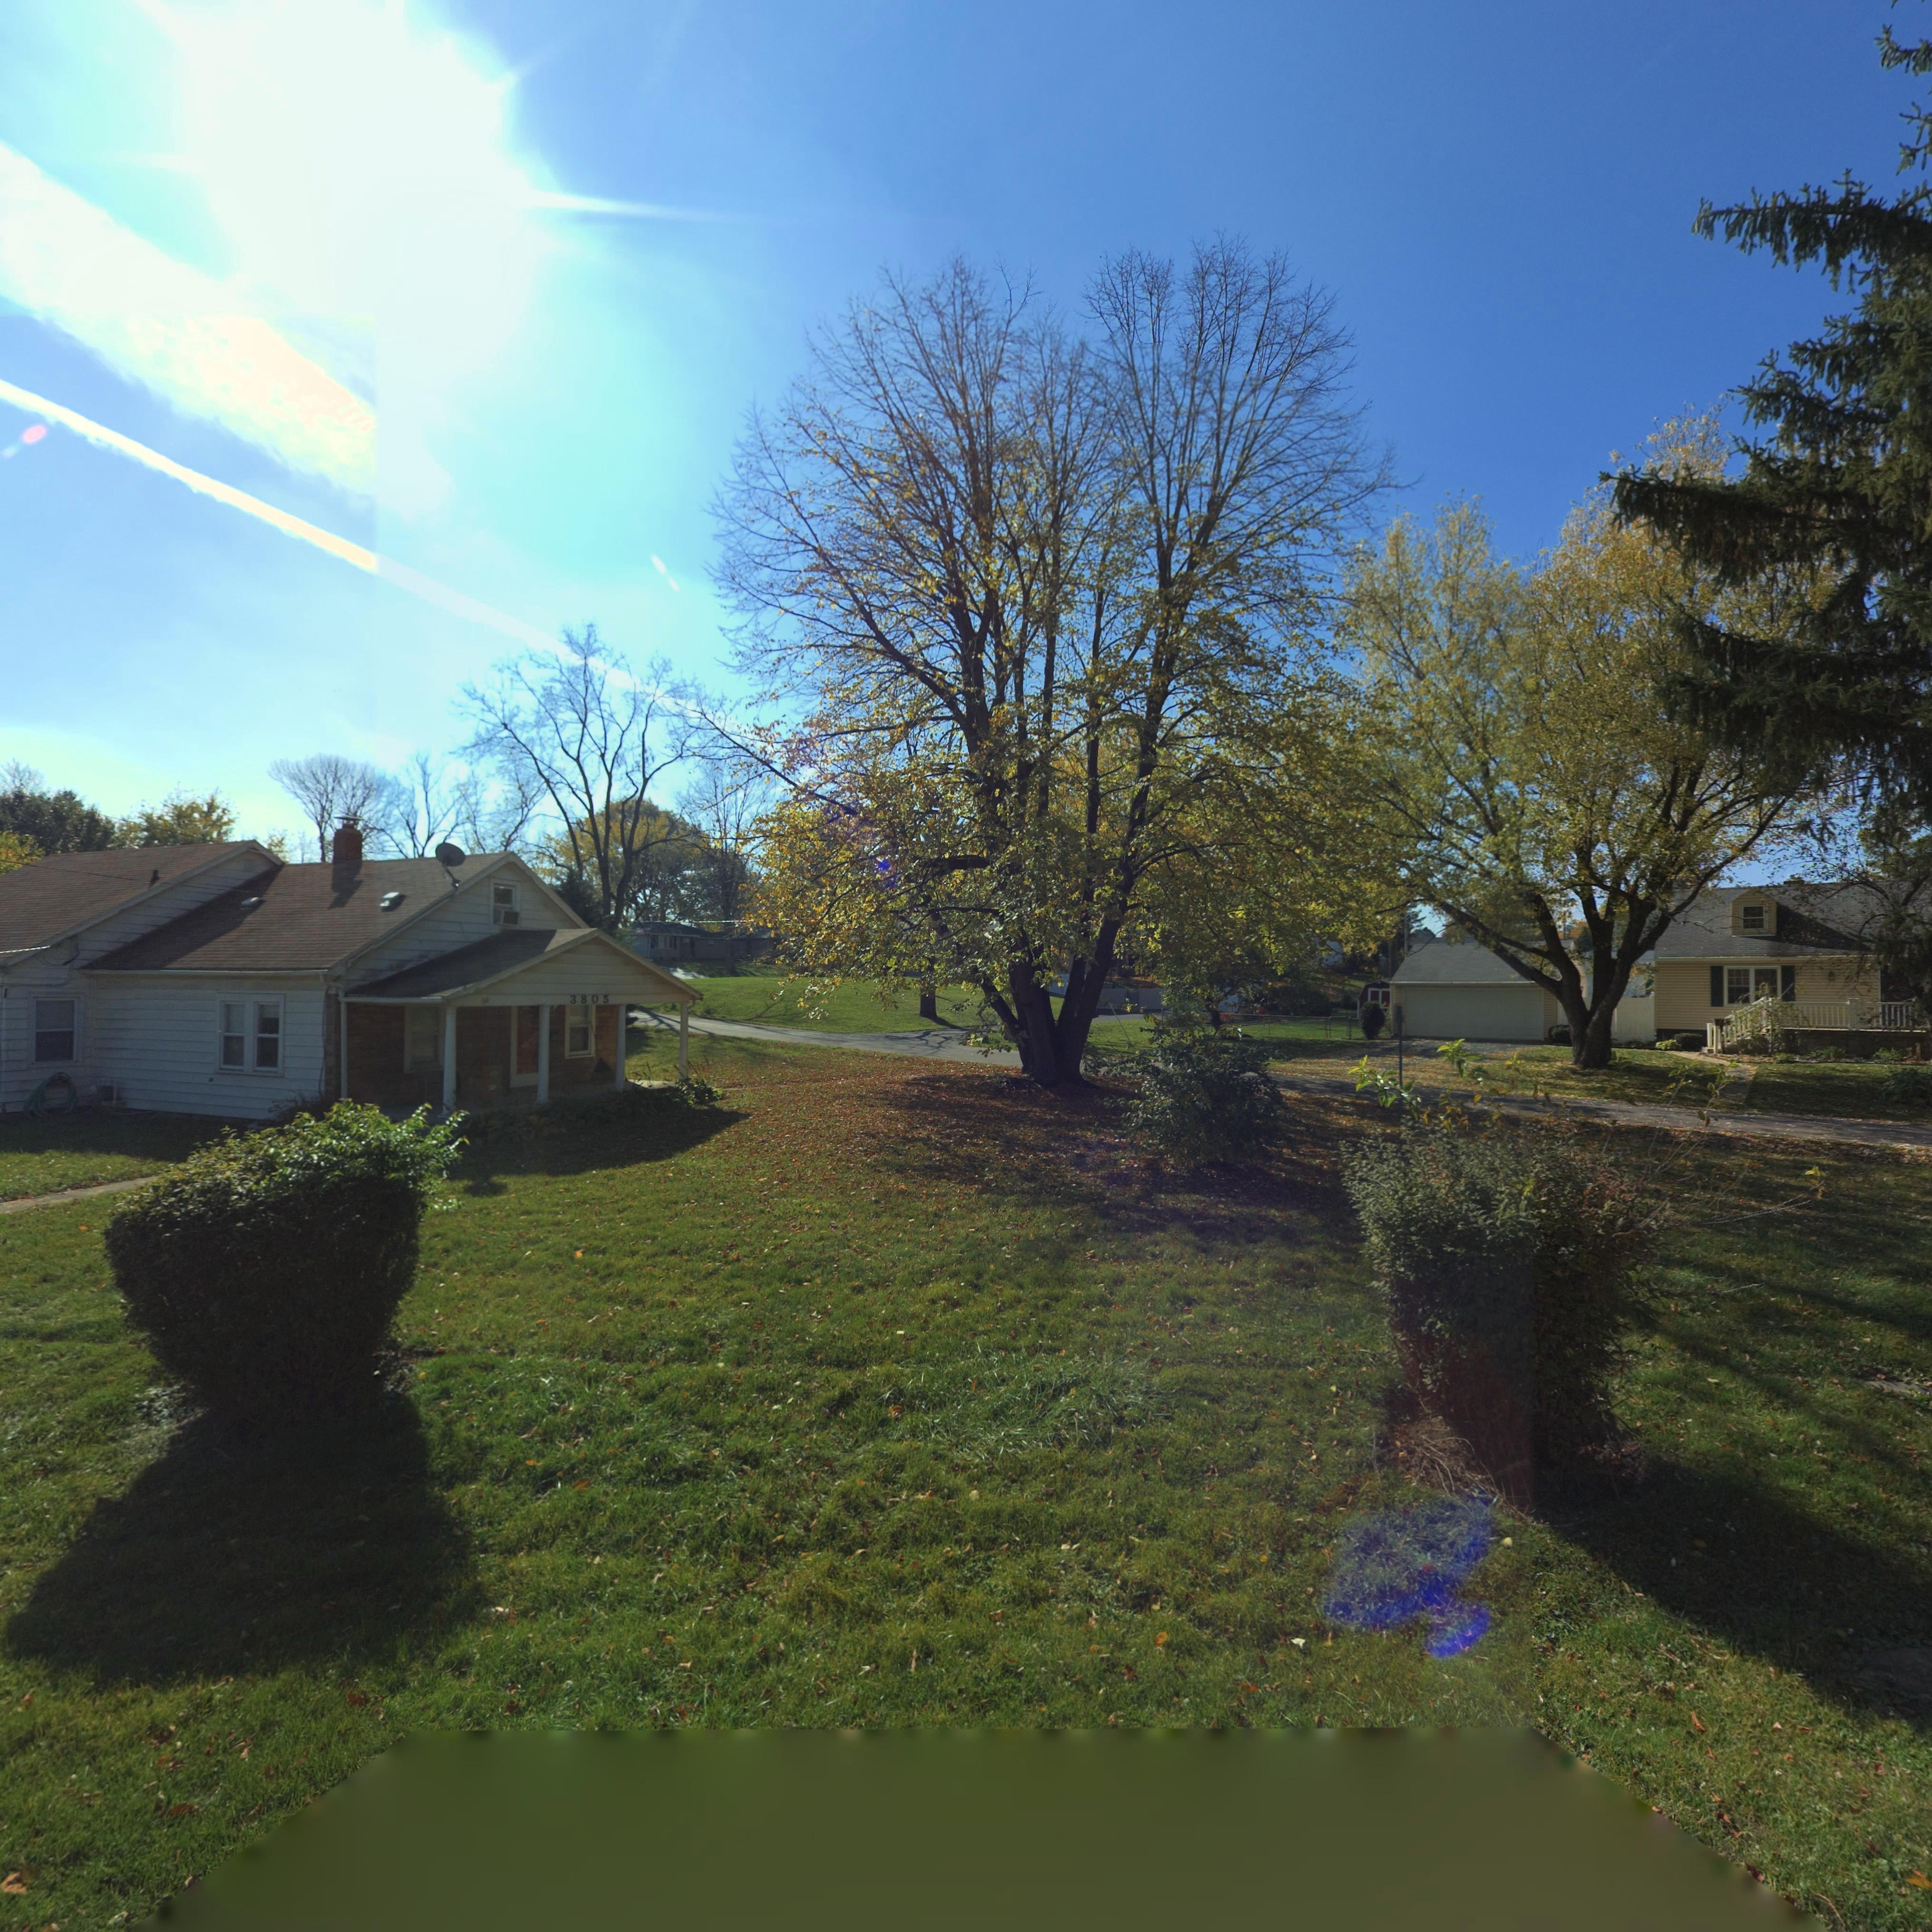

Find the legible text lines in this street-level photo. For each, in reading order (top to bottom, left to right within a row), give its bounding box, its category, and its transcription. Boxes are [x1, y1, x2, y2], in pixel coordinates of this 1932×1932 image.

[568, 993, 610, 1005] StreetNumber: 3805